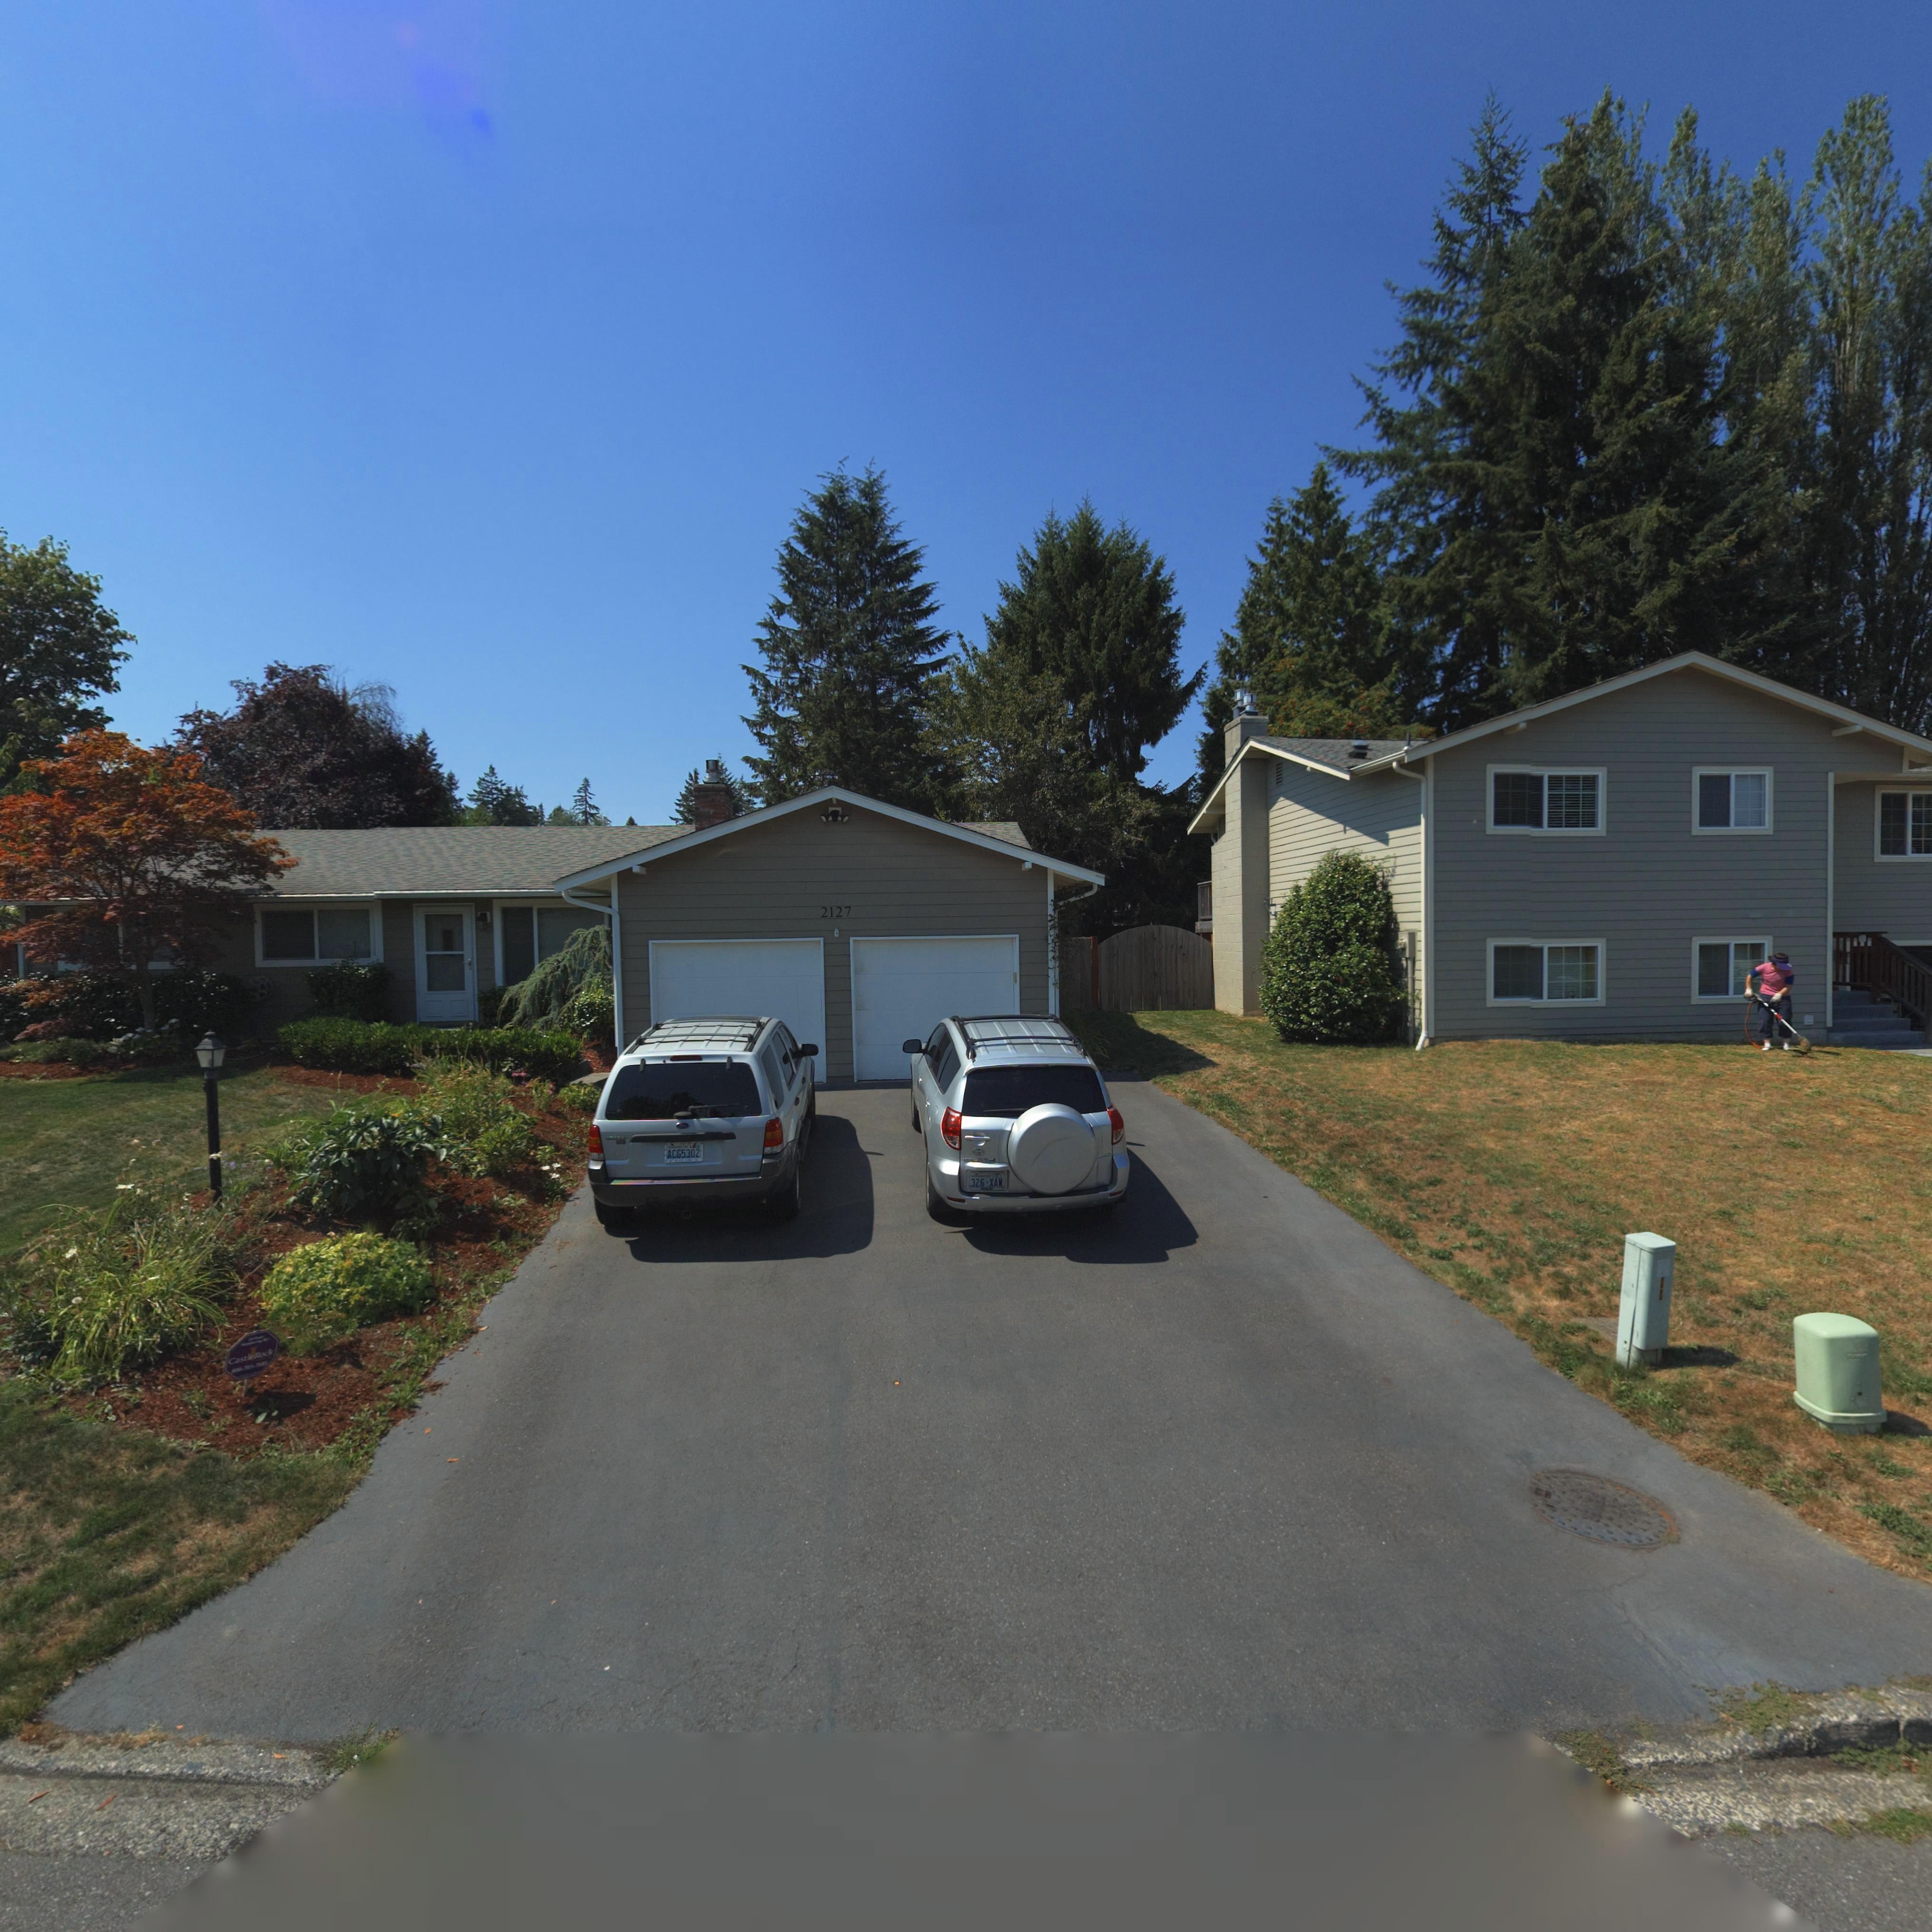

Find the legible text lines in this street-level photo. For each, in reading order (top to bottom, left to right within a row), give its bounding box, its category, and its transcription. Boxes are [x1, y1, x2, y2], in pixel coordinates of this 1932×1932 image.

[821, 906, 851, 918] StreetNumber: 2127